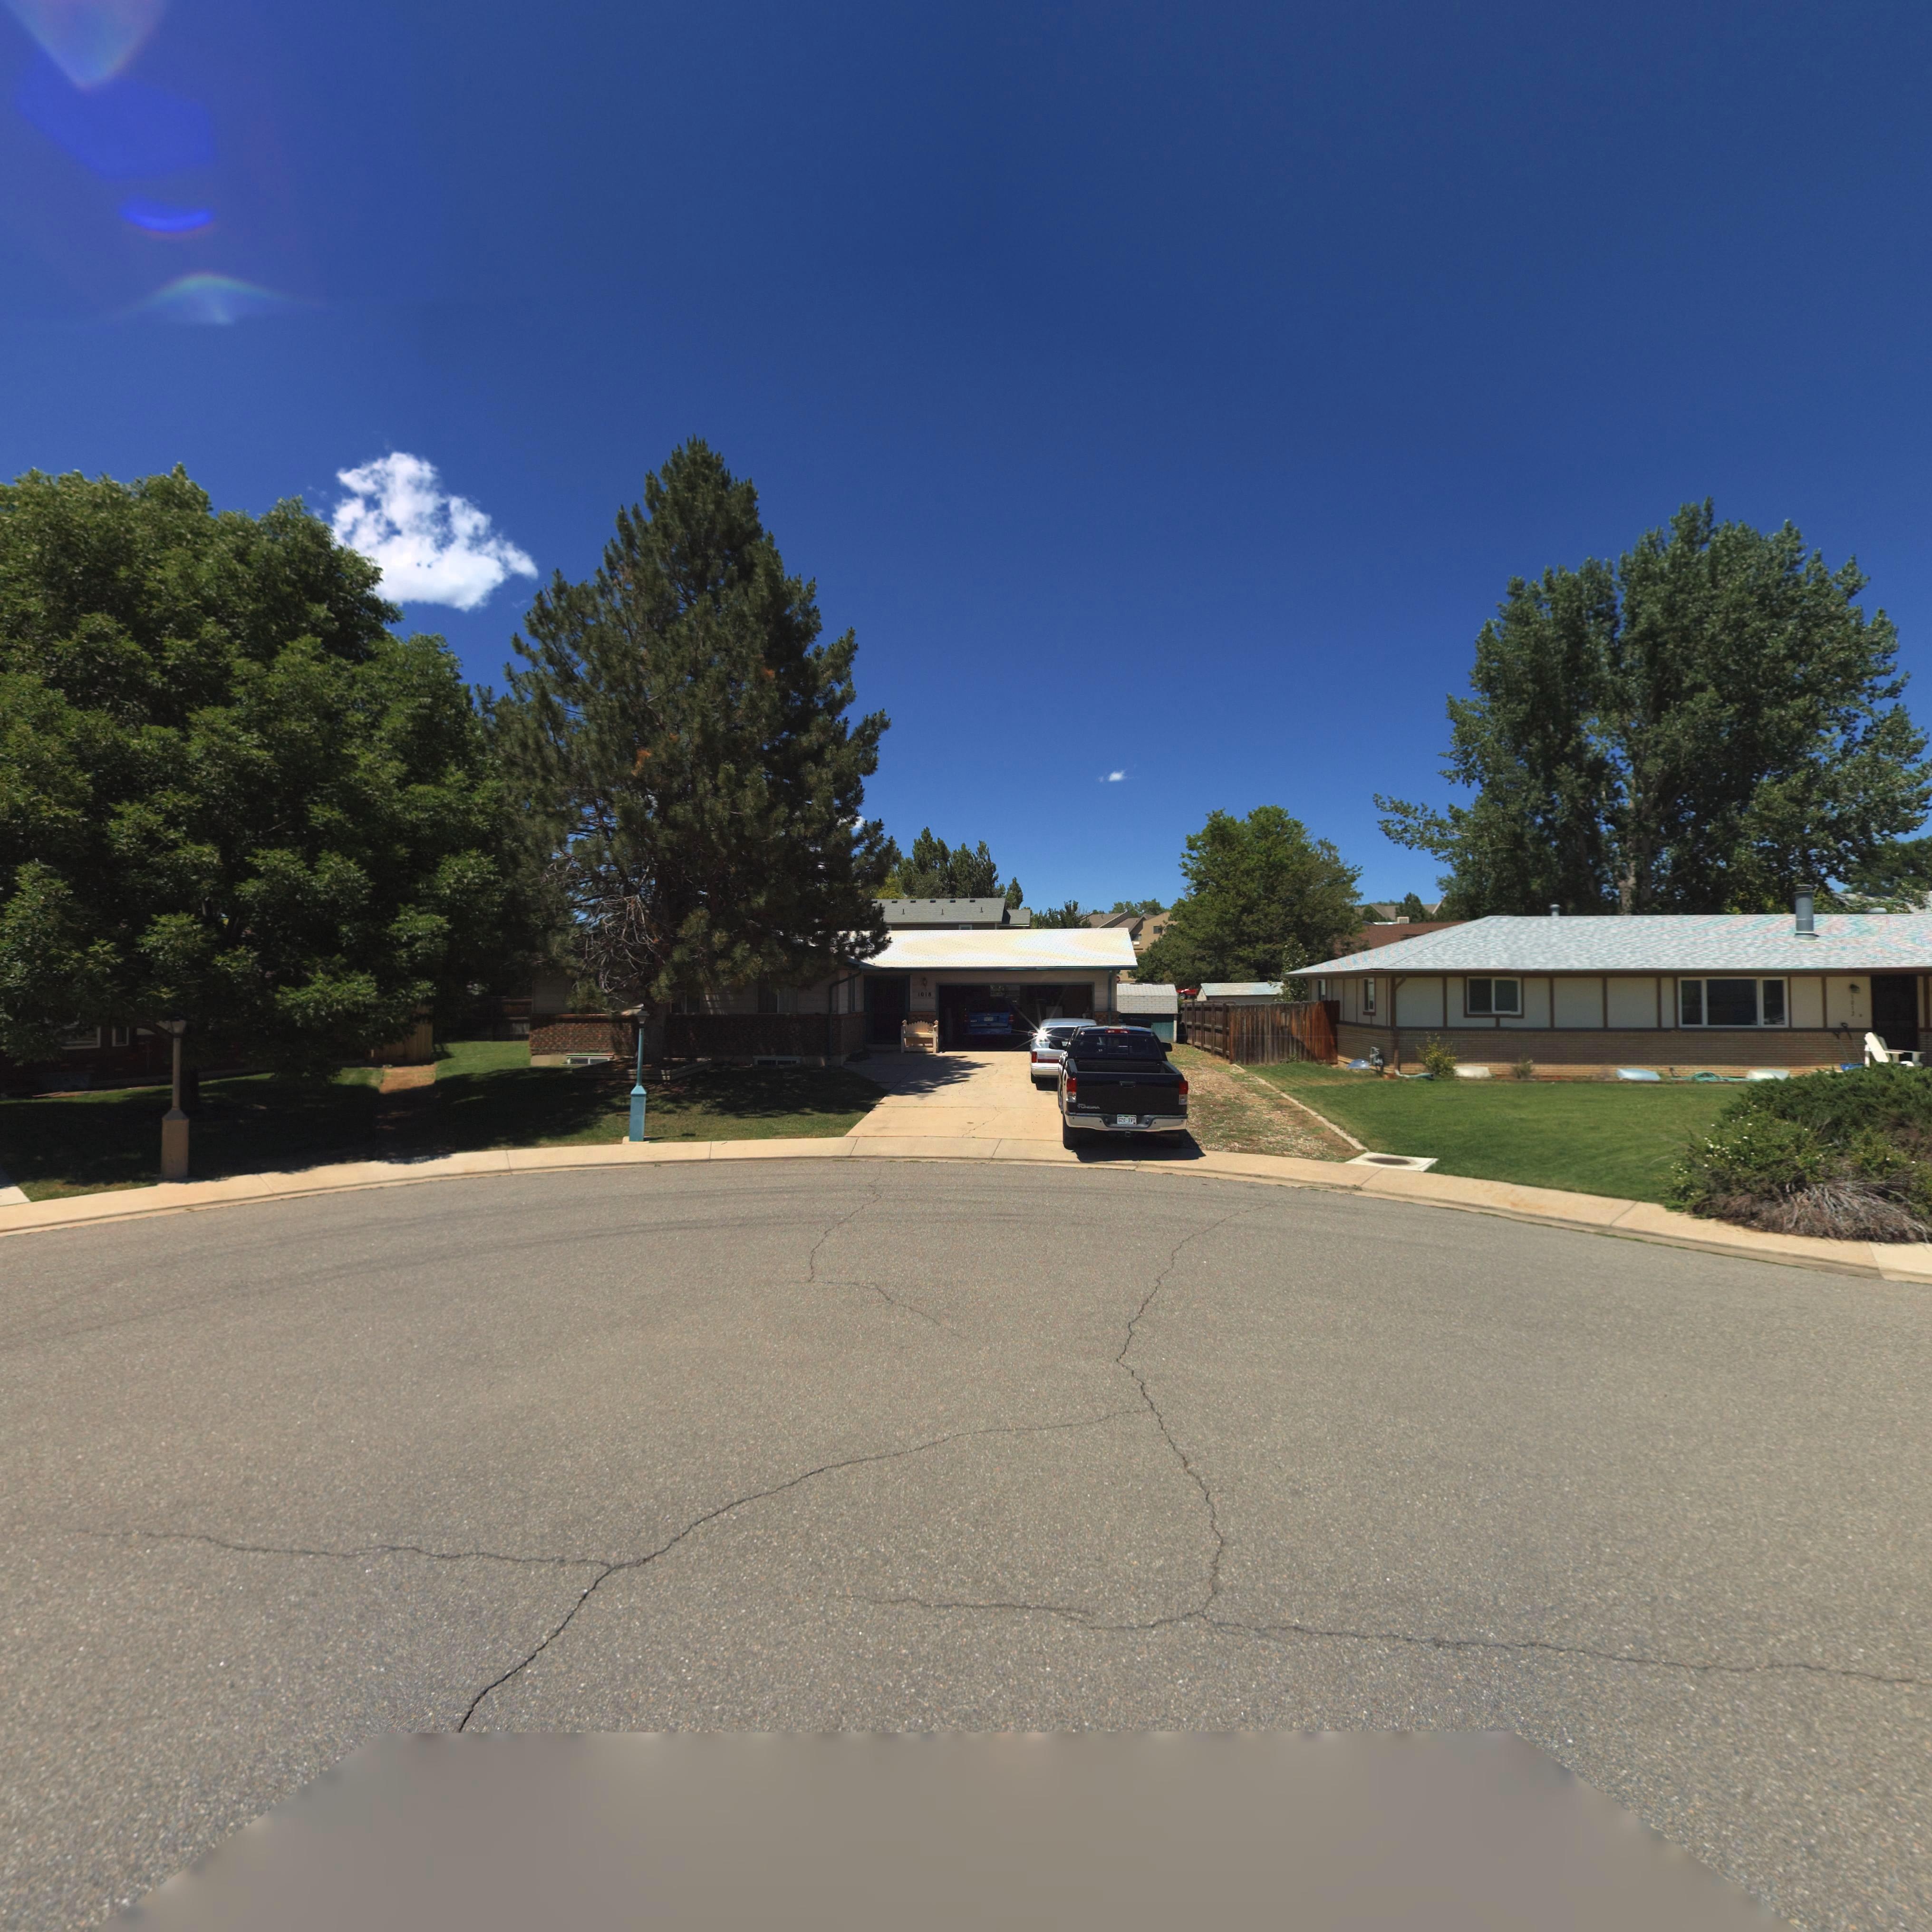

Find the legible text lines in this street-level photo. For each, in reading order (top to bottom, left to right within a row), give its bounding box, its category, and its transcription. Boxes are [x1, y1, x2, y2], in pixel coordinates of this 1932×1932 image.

[917, 992, 932, 997] StreetNumber: 1018
[1850, 994, 1855, 1017] StreetNumber: 1*12